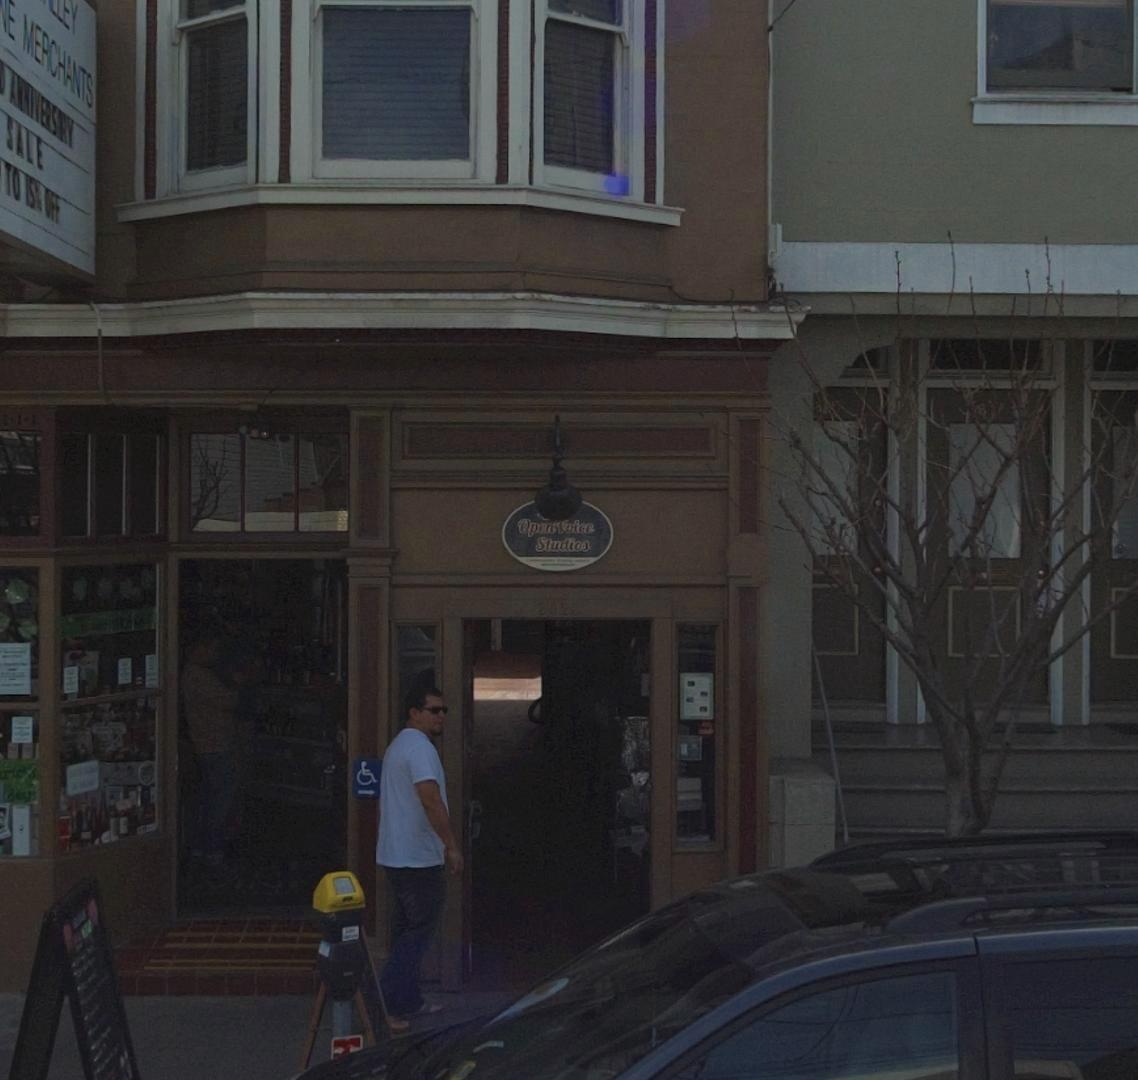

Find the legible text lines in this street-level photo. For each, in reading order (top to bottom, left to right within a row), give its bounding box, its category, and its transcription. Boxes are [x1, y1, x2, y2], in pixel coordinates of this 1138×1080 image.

[69, 0, 81, 36] None: Y
[7, 0, 94, 112] None: E MERCHANTS
[8, 70, 75, 152] None: ANNIVERSARY
[5, 113, 46, 174] None: SALE
[4, 159, 62, 227] None: TO *5% OFF
[517, 518, 596, 537] BusinessName: Open Voice
[534, 536, 590, 553] BusinessName: Studios
[534, 600, 582, 617] StreetNumber: 2*28